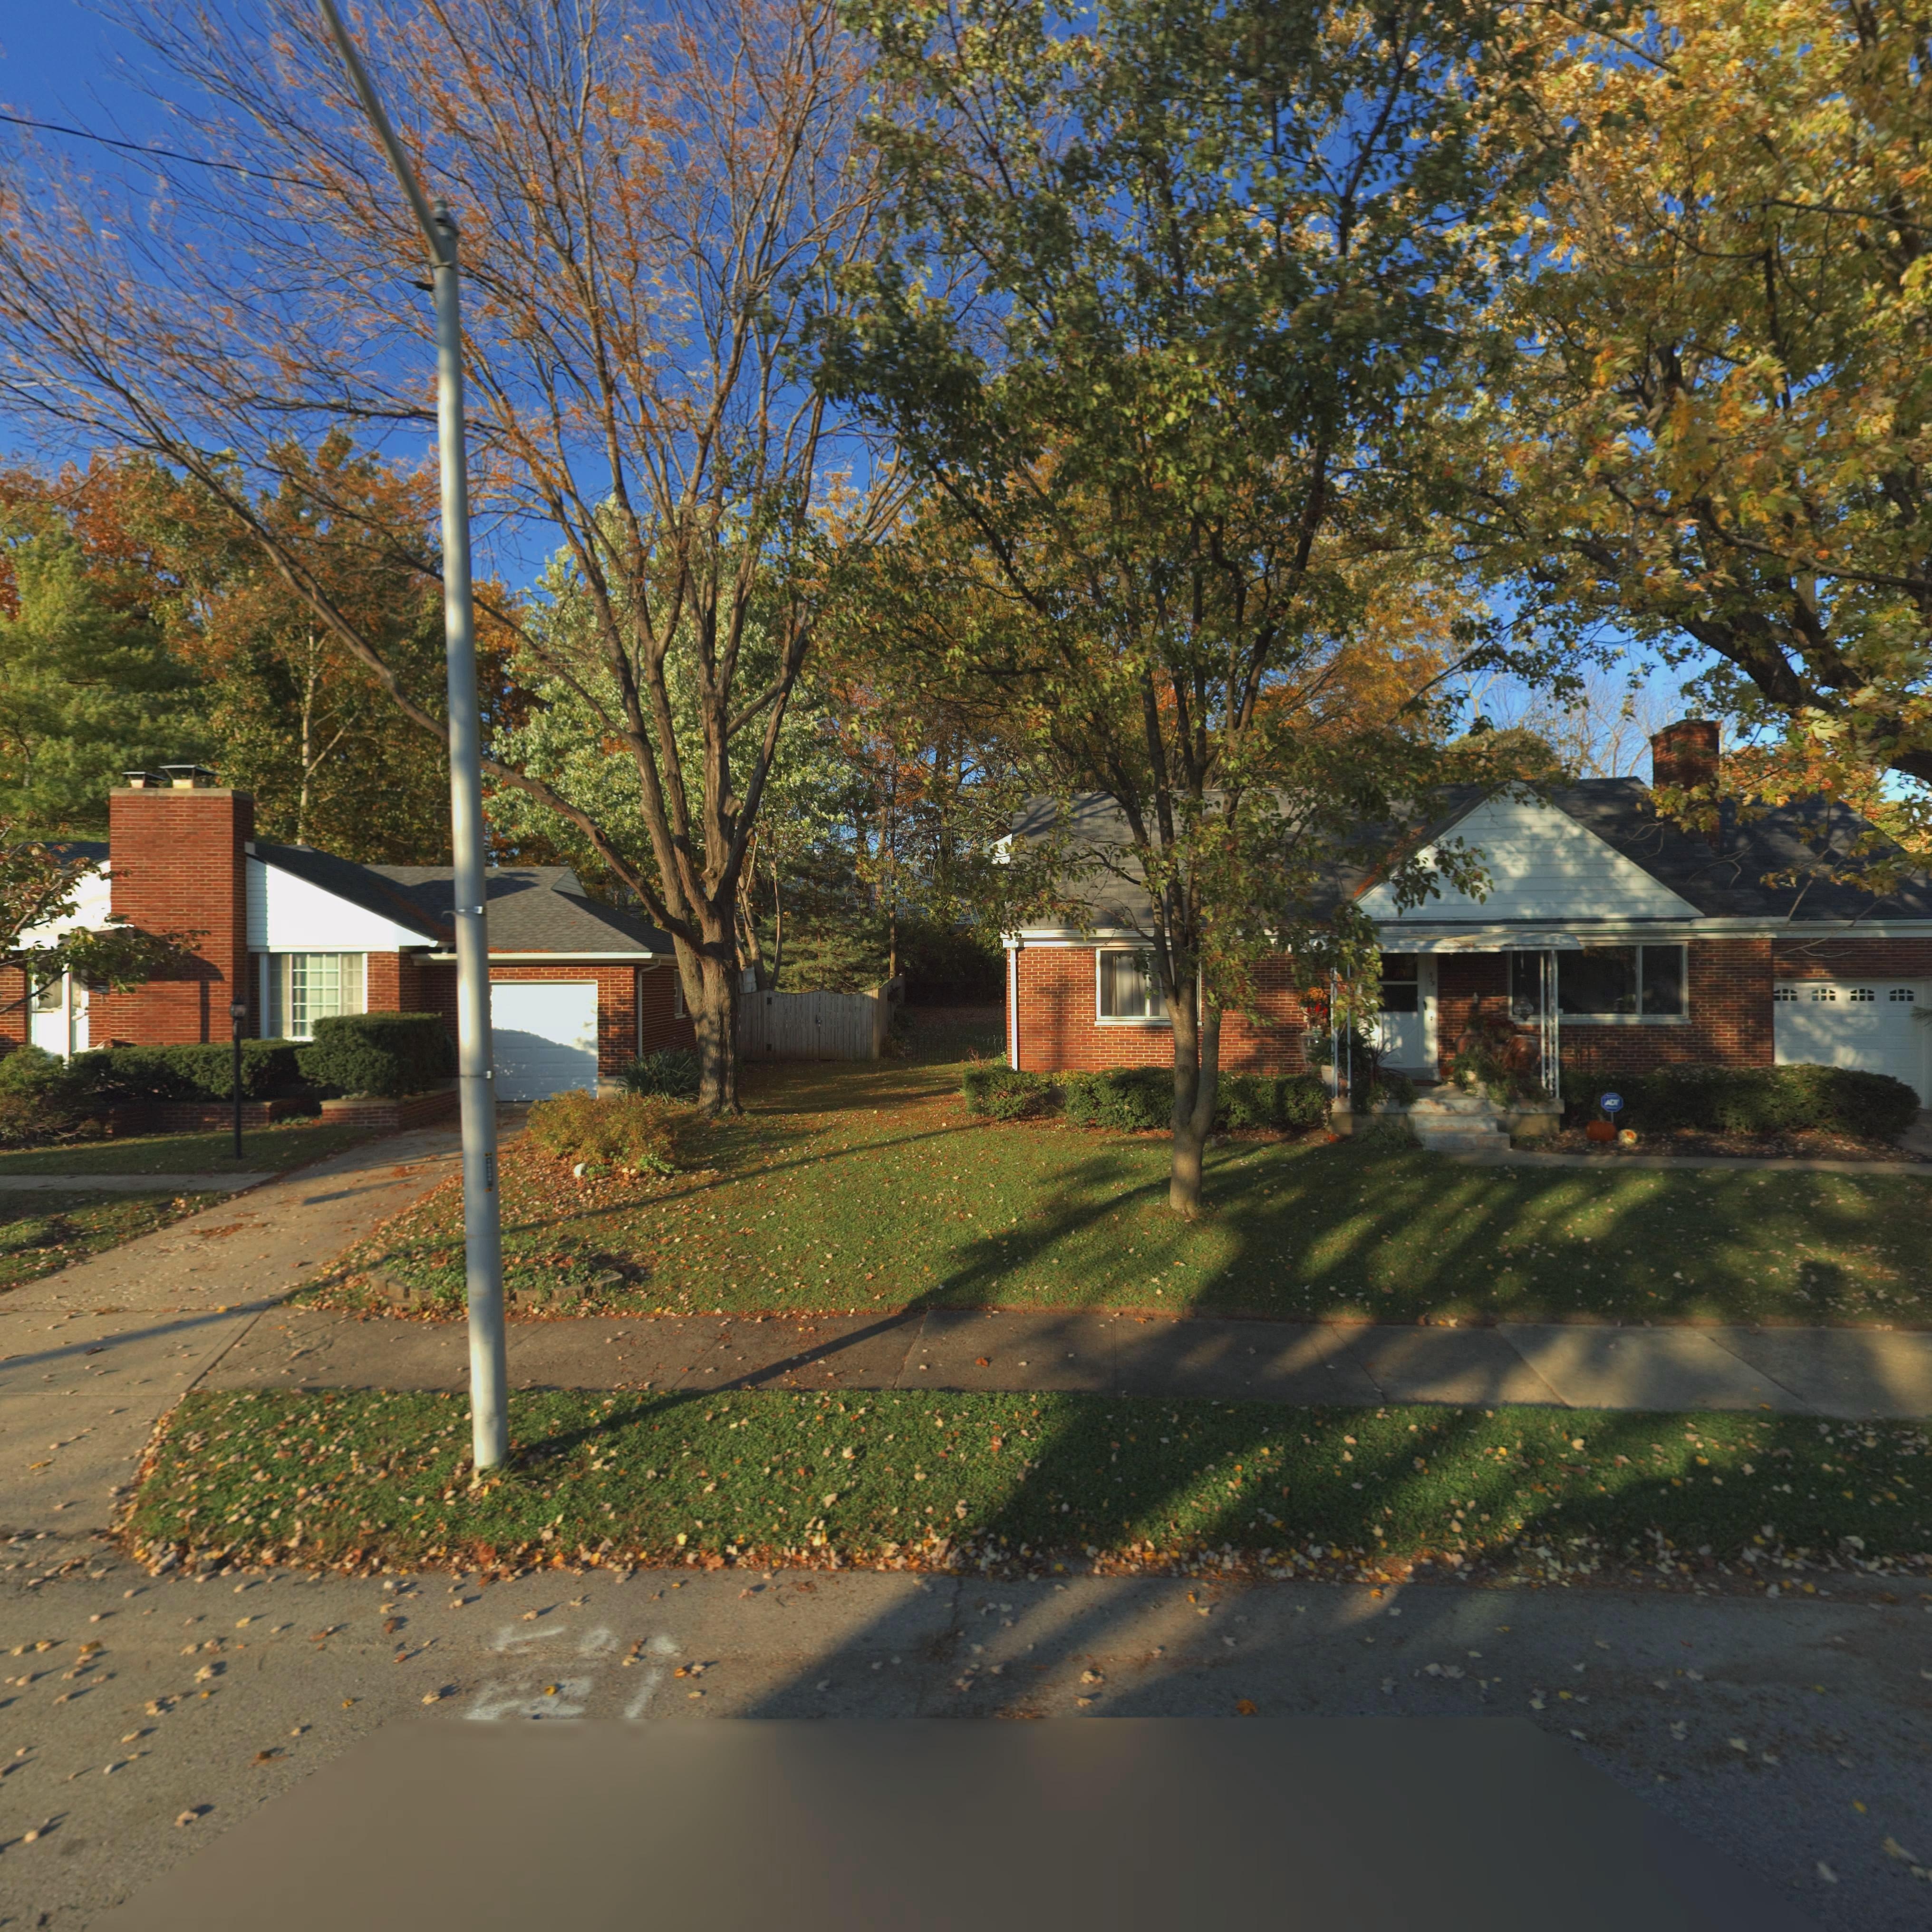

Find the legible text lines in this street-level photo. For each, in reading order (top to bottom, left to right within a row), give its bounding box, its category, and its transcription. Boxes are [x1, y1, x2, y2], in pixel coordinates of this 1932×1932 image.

[1427, 971, 1437, 987] StreetNumber: 515